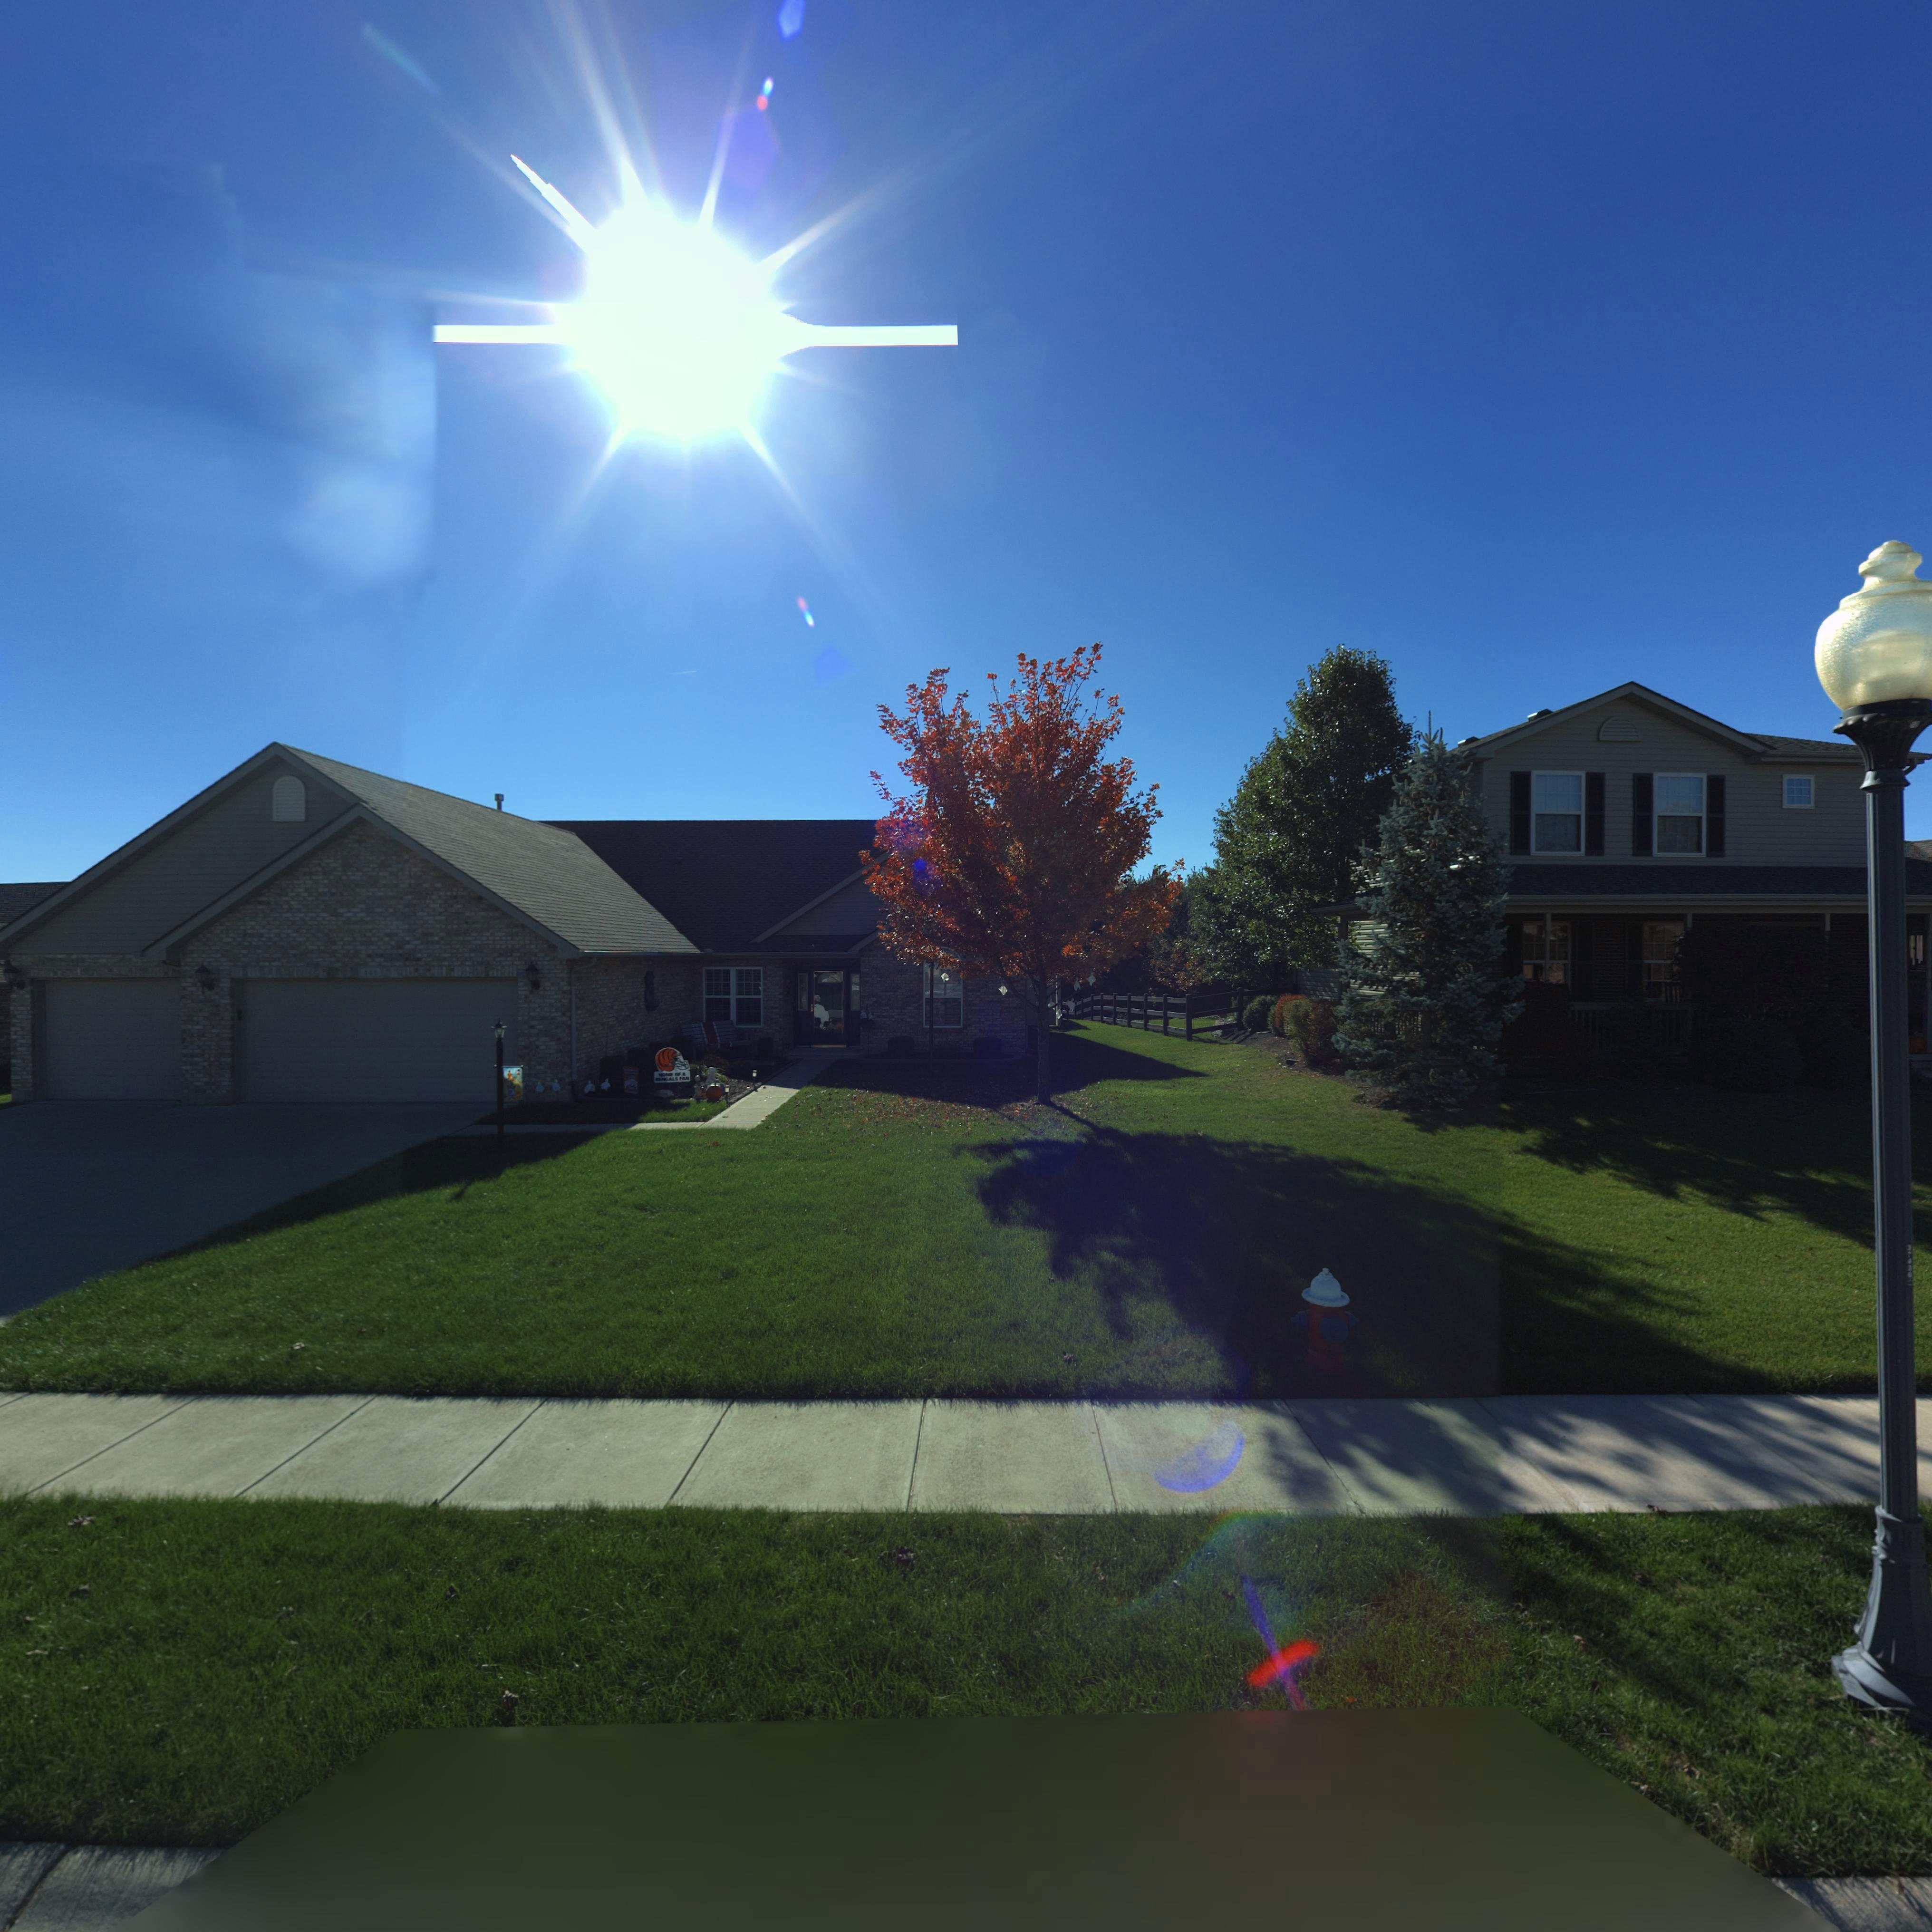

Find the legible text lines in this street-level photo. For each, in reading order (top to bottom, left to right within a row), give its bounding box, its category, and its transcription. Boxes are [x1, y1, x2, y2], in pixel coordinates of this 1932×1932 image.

[364, 969, 378, 977] StreetNumber: 141